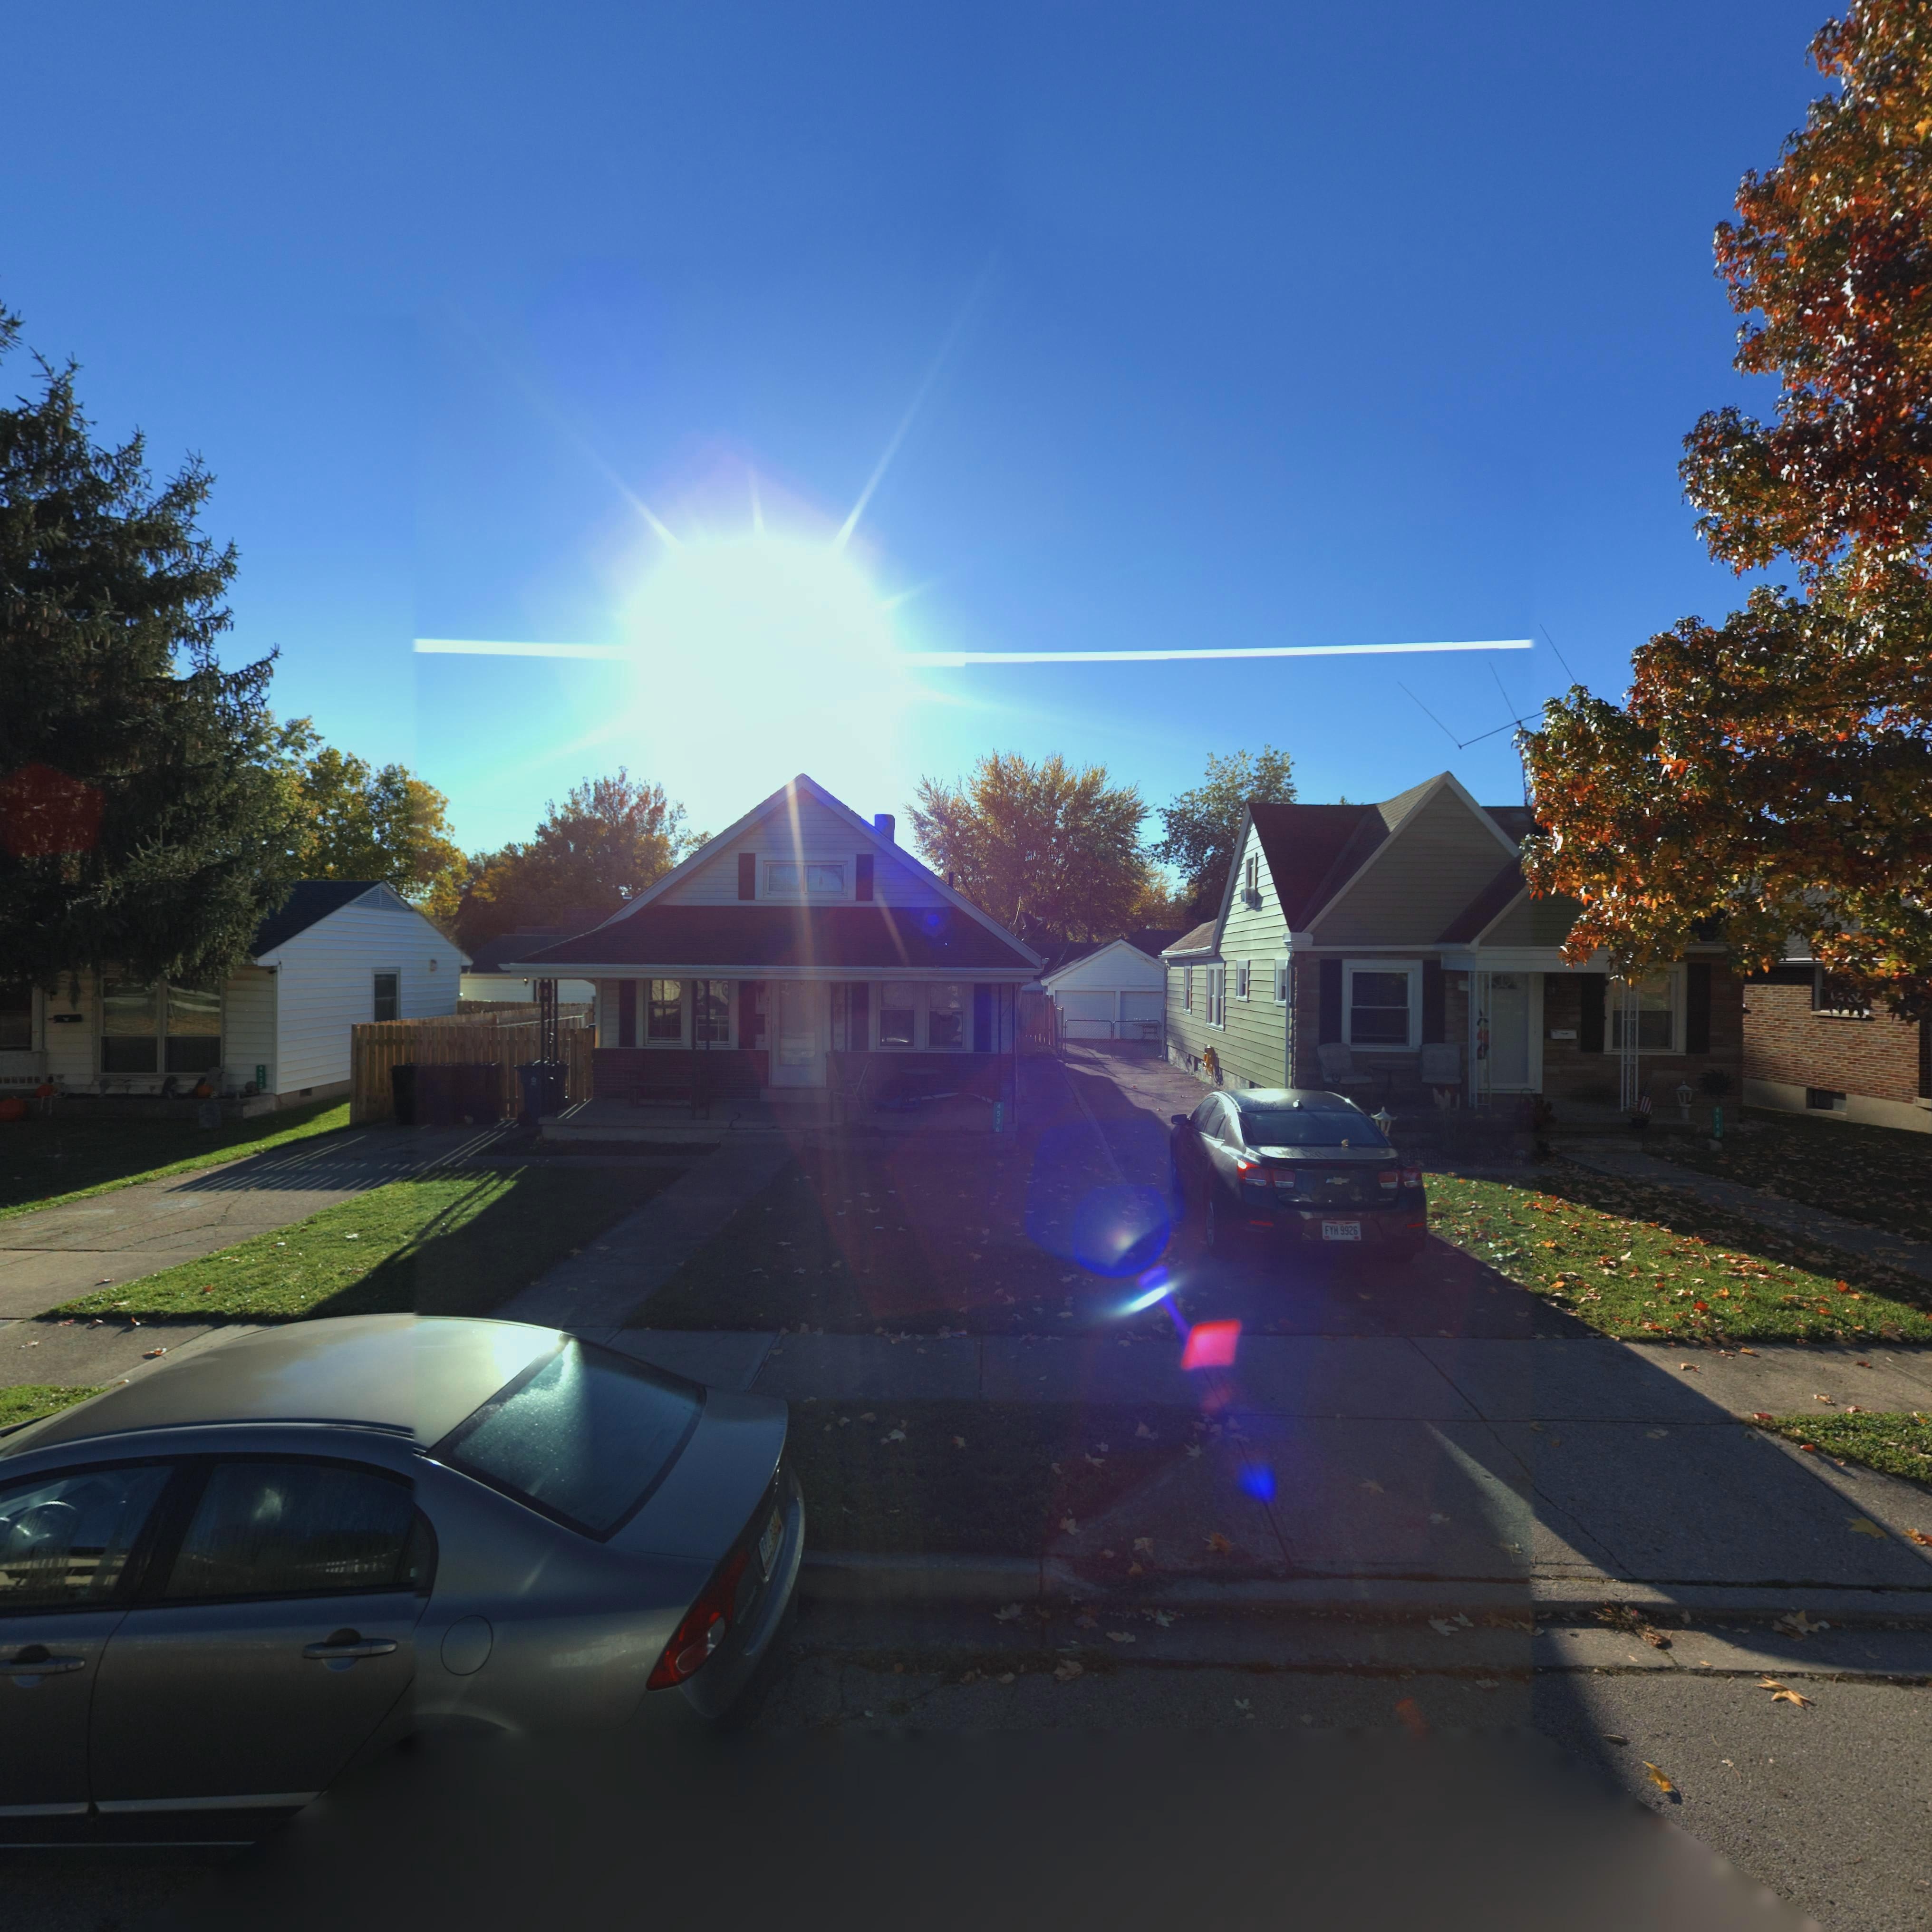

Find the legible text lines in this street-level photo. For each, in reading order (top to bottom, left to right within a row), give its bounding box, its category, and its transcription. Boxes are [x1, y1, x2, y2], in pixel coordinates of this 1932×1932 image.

[995, 1103, 1001, 1132] StreetNumber: 4536
[1715, 1106, 1720, 1137] StreetNumber: 4540